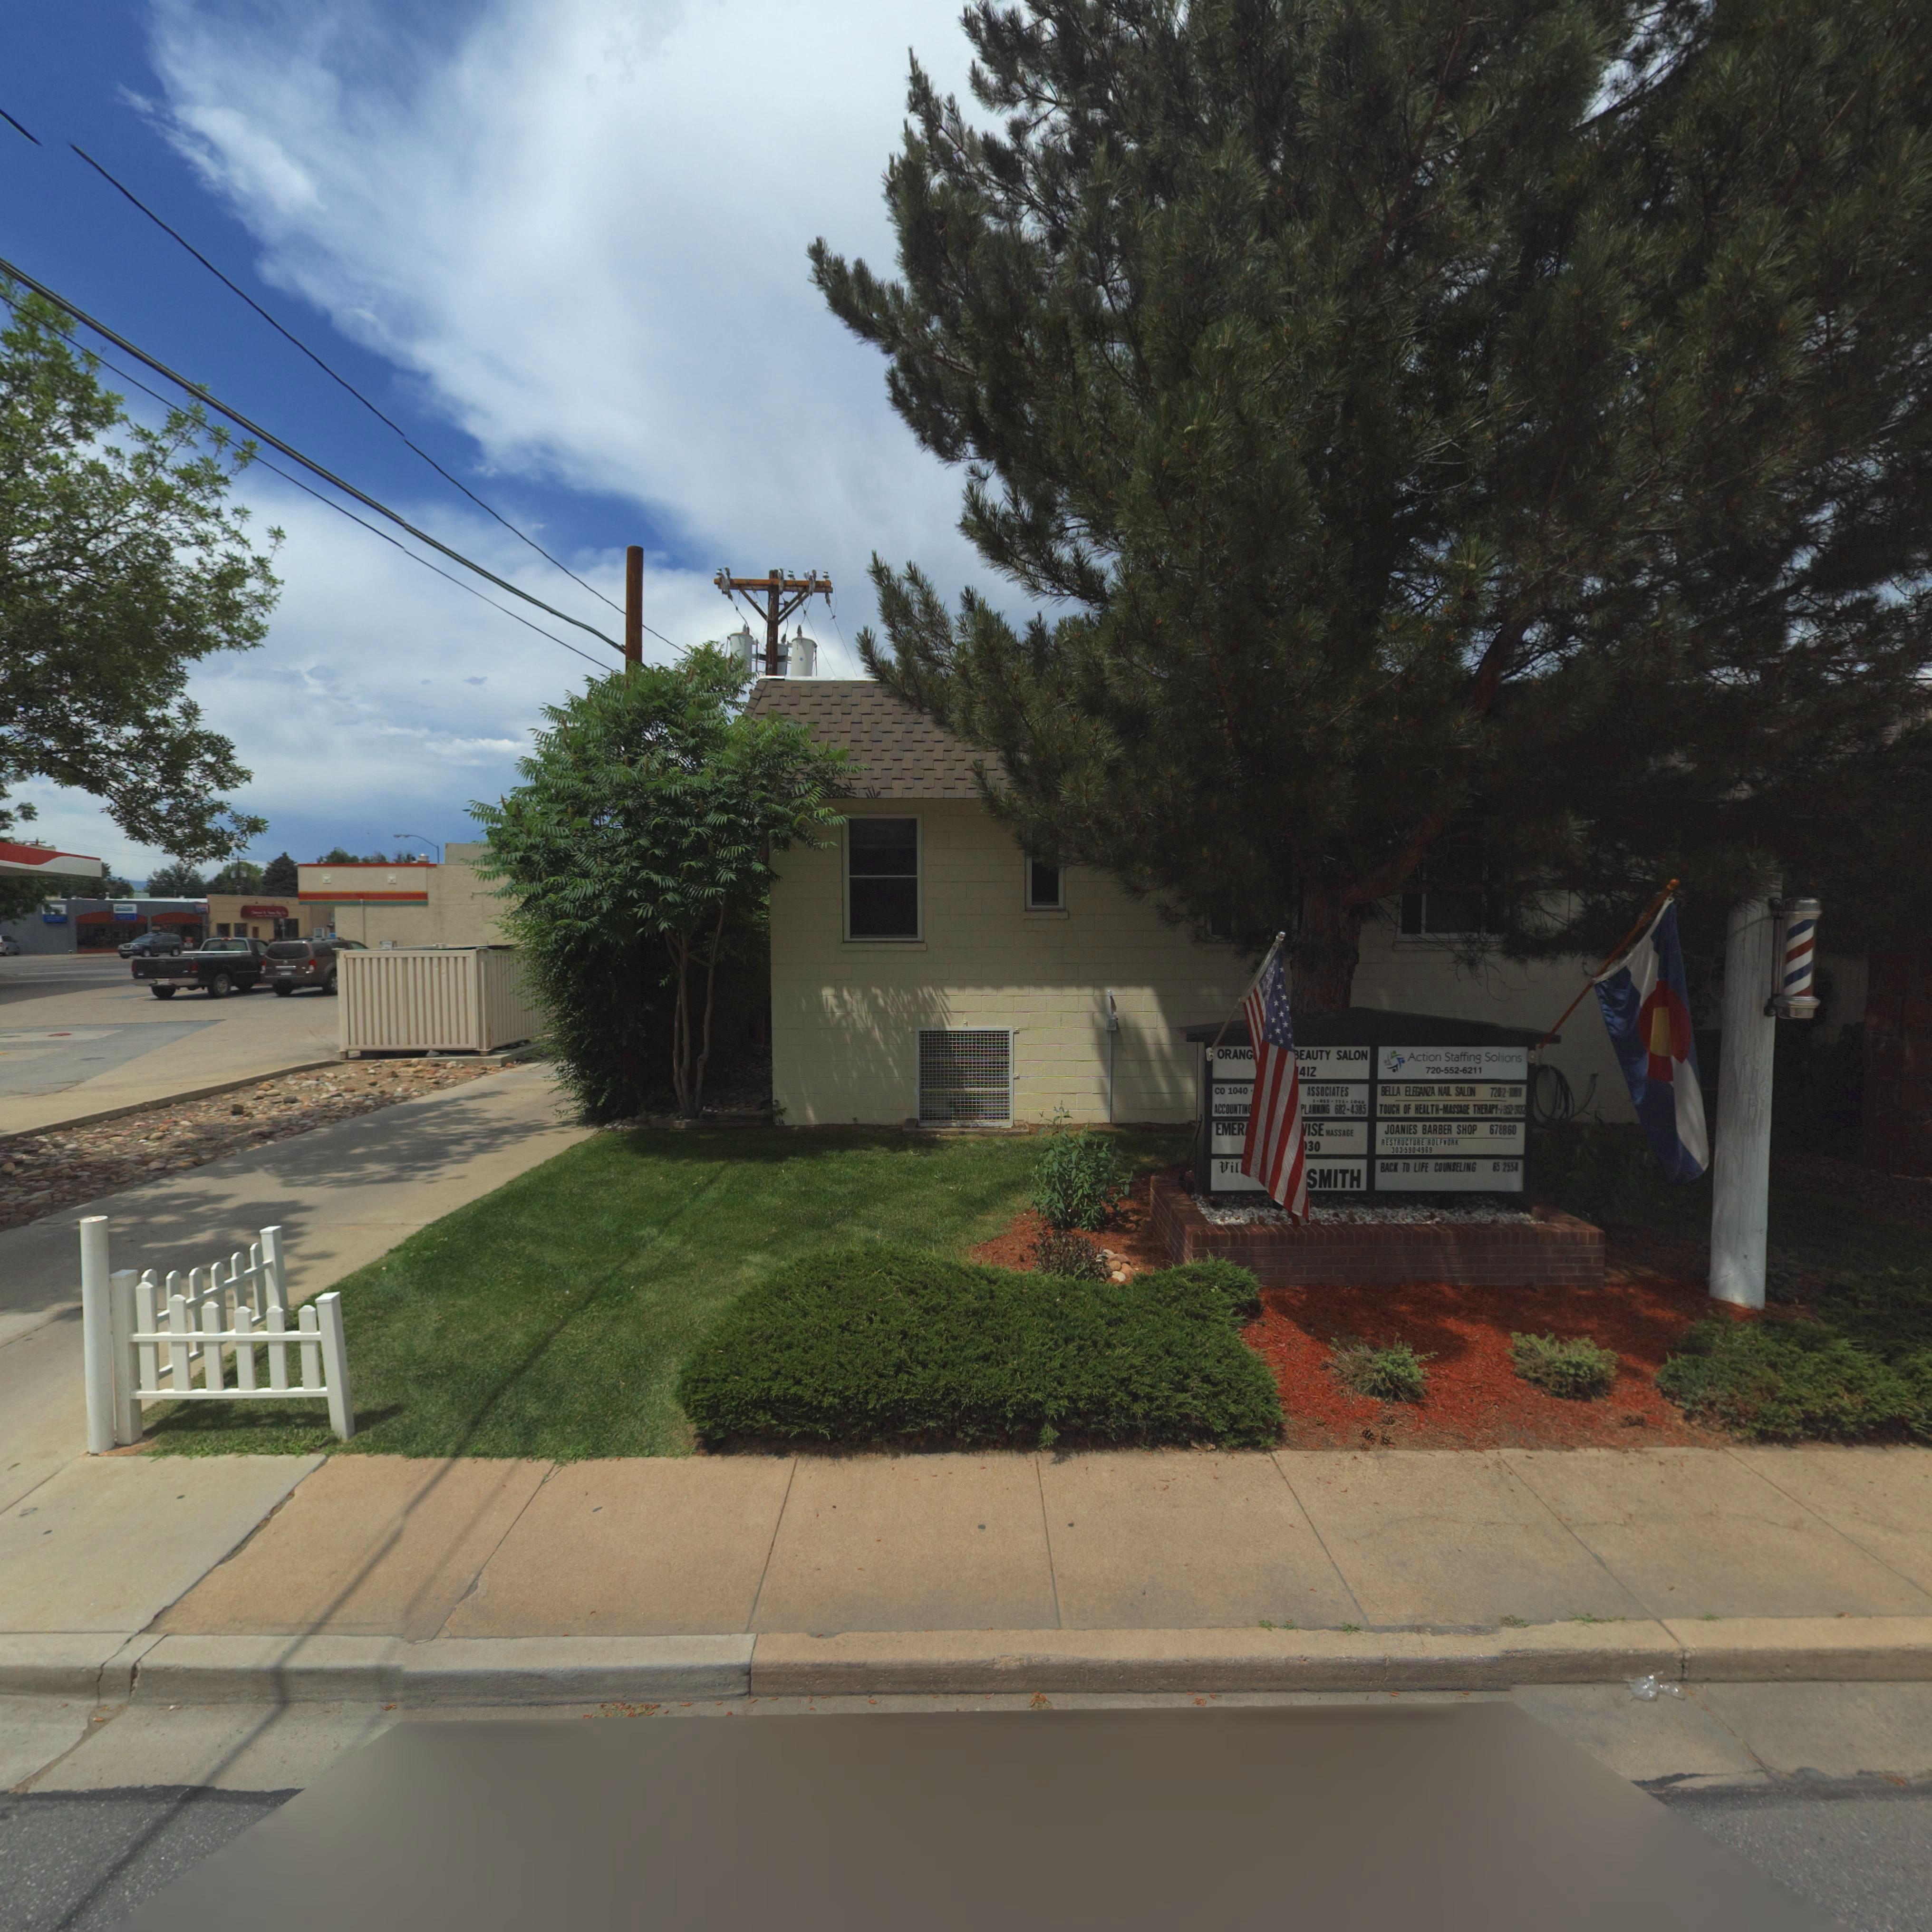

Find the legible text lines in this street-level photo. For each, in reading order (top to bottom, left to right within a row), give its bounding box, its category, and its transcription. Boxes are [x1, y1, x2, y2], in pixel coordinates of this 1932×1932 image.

[1217, 1048, 1368, 1061] BusinessName: ORANG* **** BEAUTY SALON
[1406, 1052, 1522, 1064] BusinessName: Action Staffing Solutions
[1306, 1086, 1349, 1097] BusinessName: ASSOCIATES
[1381, 1086, 1476, 1096] BusinessName: BELLA ELEGANZA NAIL SALON
[1213, 1103, 1329, 1114] BusinessName: ACCOUNTING ******** PLANNING
[1378, 1103, 1498, 1114] BusinessName: TOUCH OF HEALTH-MASSAGE THERAPY
[1215, 1122, 1324, 1137] BusinessName: EMER*** ****WISE
[1326, 1129, 1354, 1137] BusinessName: MASSAGE
[1384, 1123, 1477, 1134] BusinessName: JOANIES BARBER SHOP
[1381, 1139, 1459, 1146] BusinessName: RESTRUCTURE ROLFWORK
[1219, 1160, 1243, 1173] BusinessName: Vil****
[1380, 1162, 1476, 1172] BusinessName: BACK TO LIFE COUNSELING
[1305, 1168, 1361, 1188] BusinessName: ***SMITH